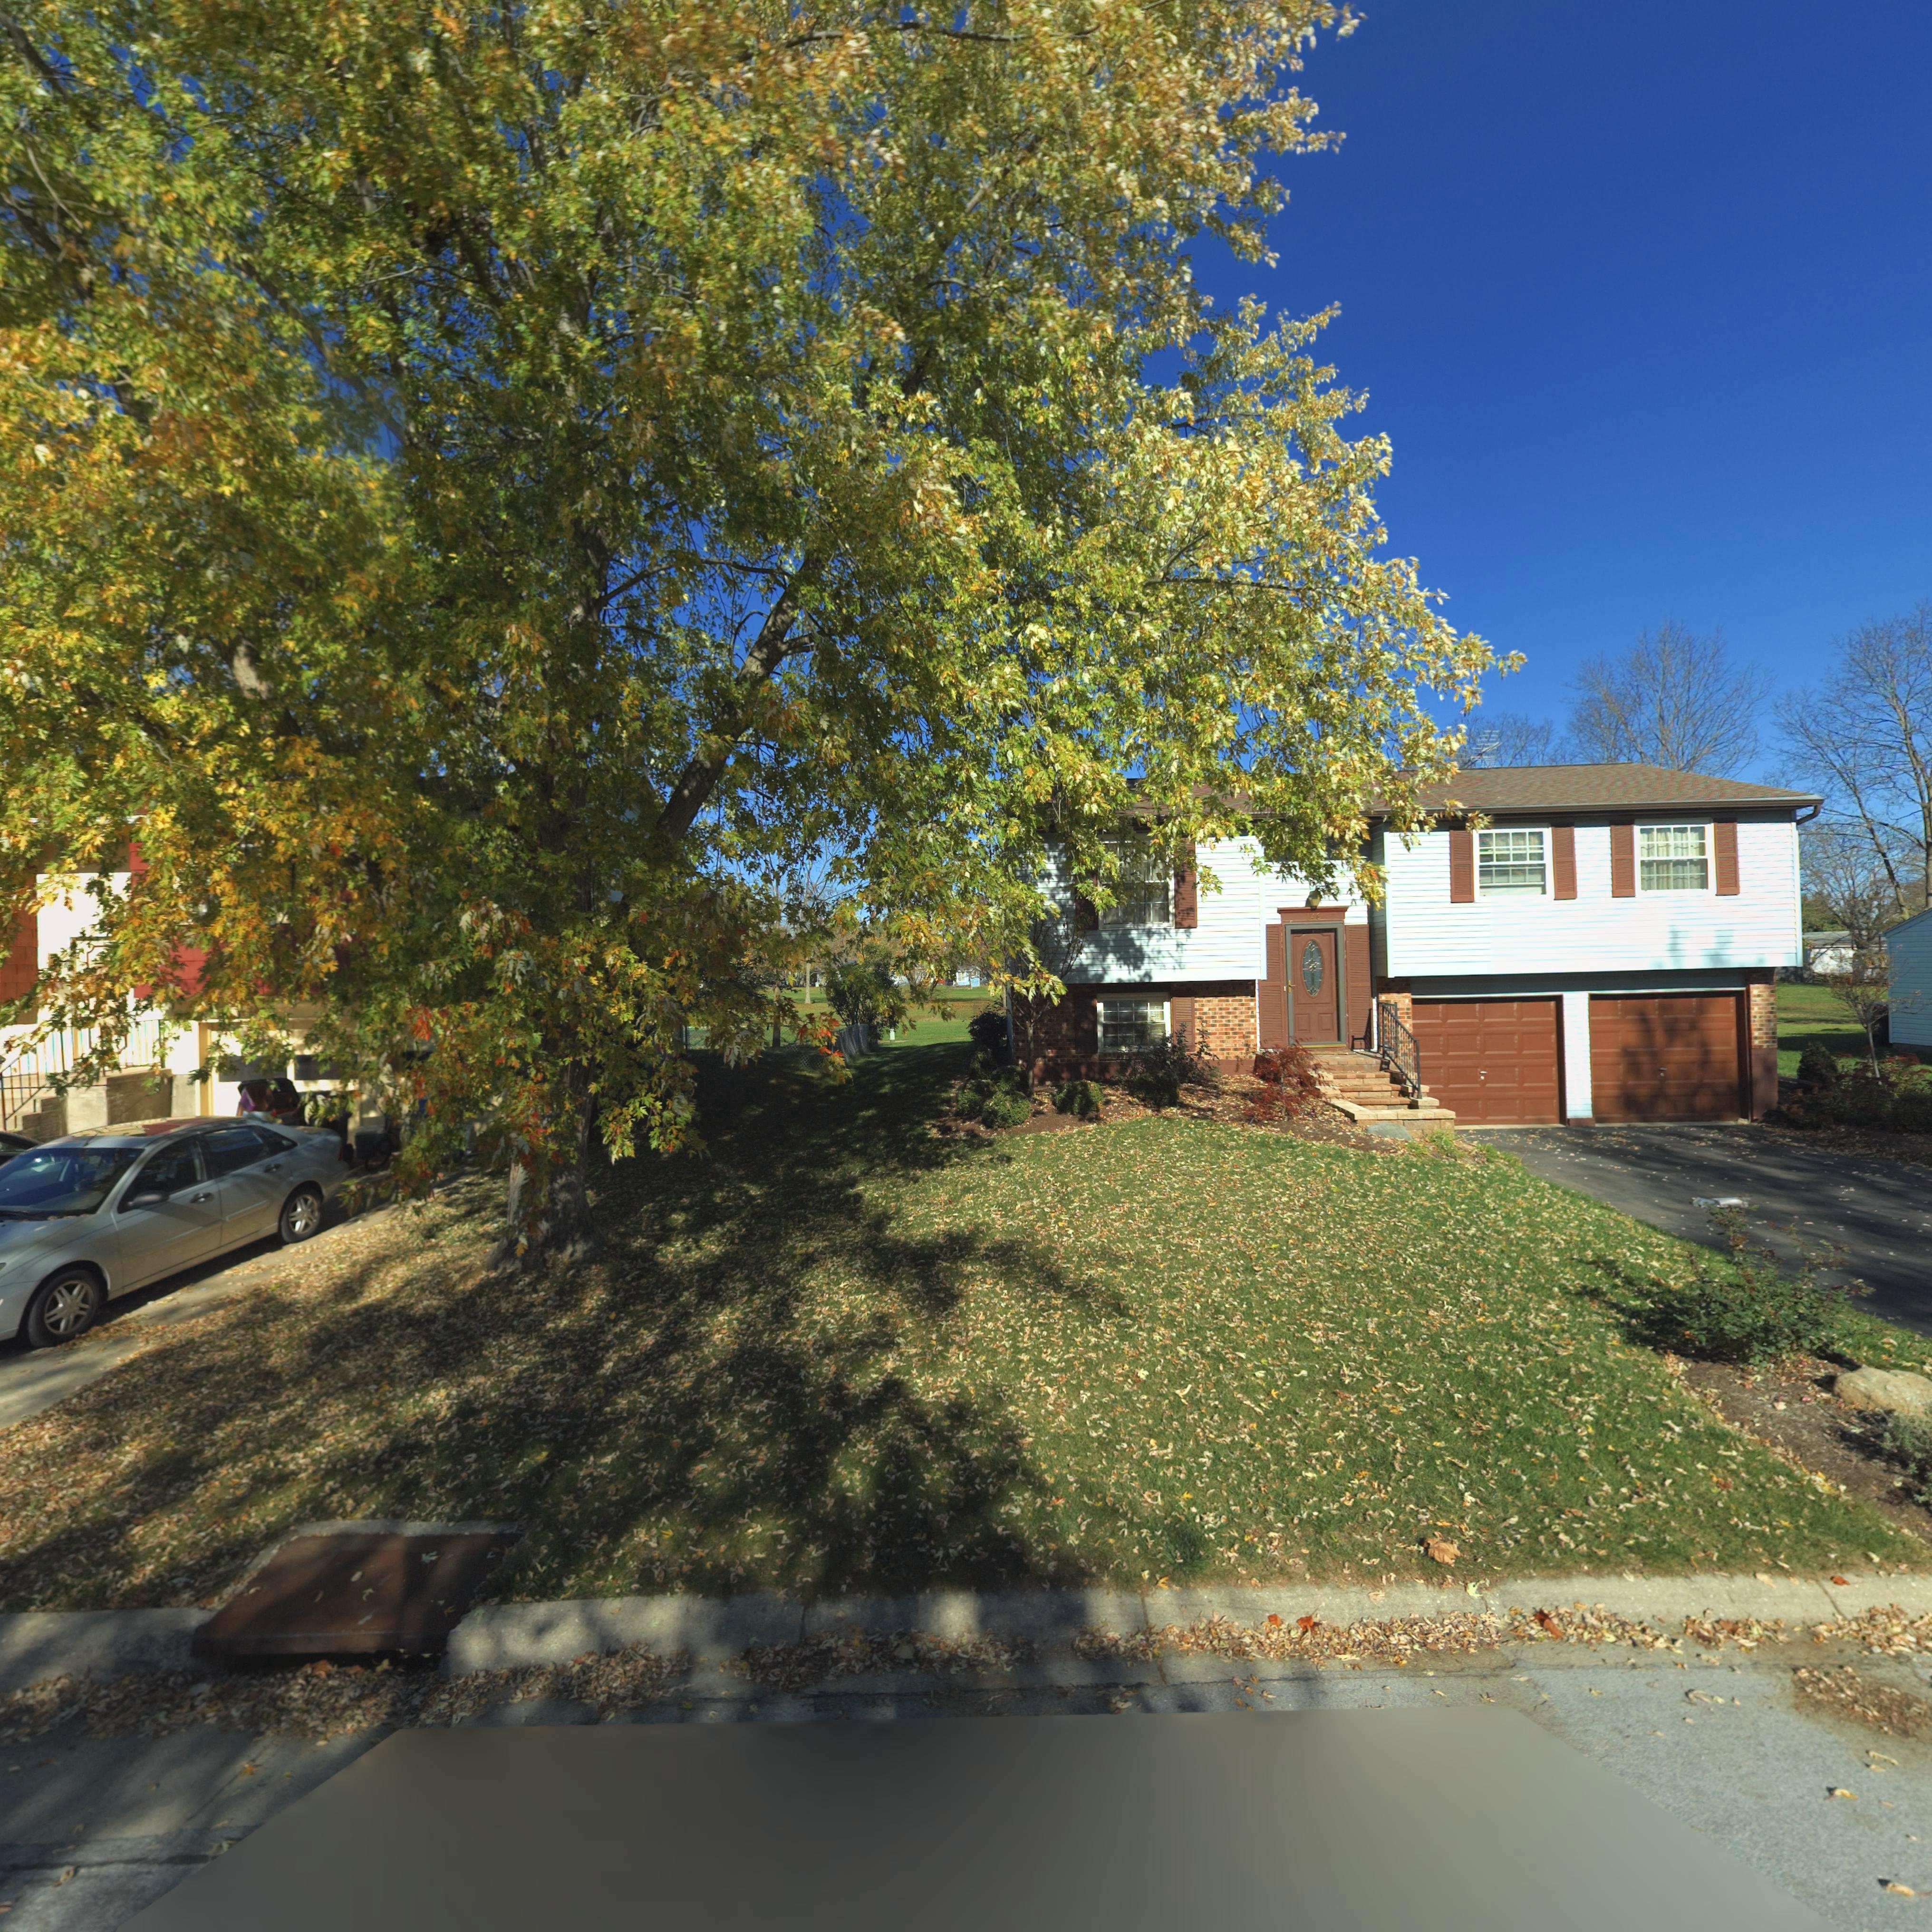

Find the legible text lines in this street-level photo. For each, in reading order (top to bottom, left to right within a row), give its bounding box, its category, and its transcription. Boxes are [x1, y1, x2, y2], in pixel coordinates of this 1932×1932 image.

[1305, 911, 1321, 921] StreetNumber: 146